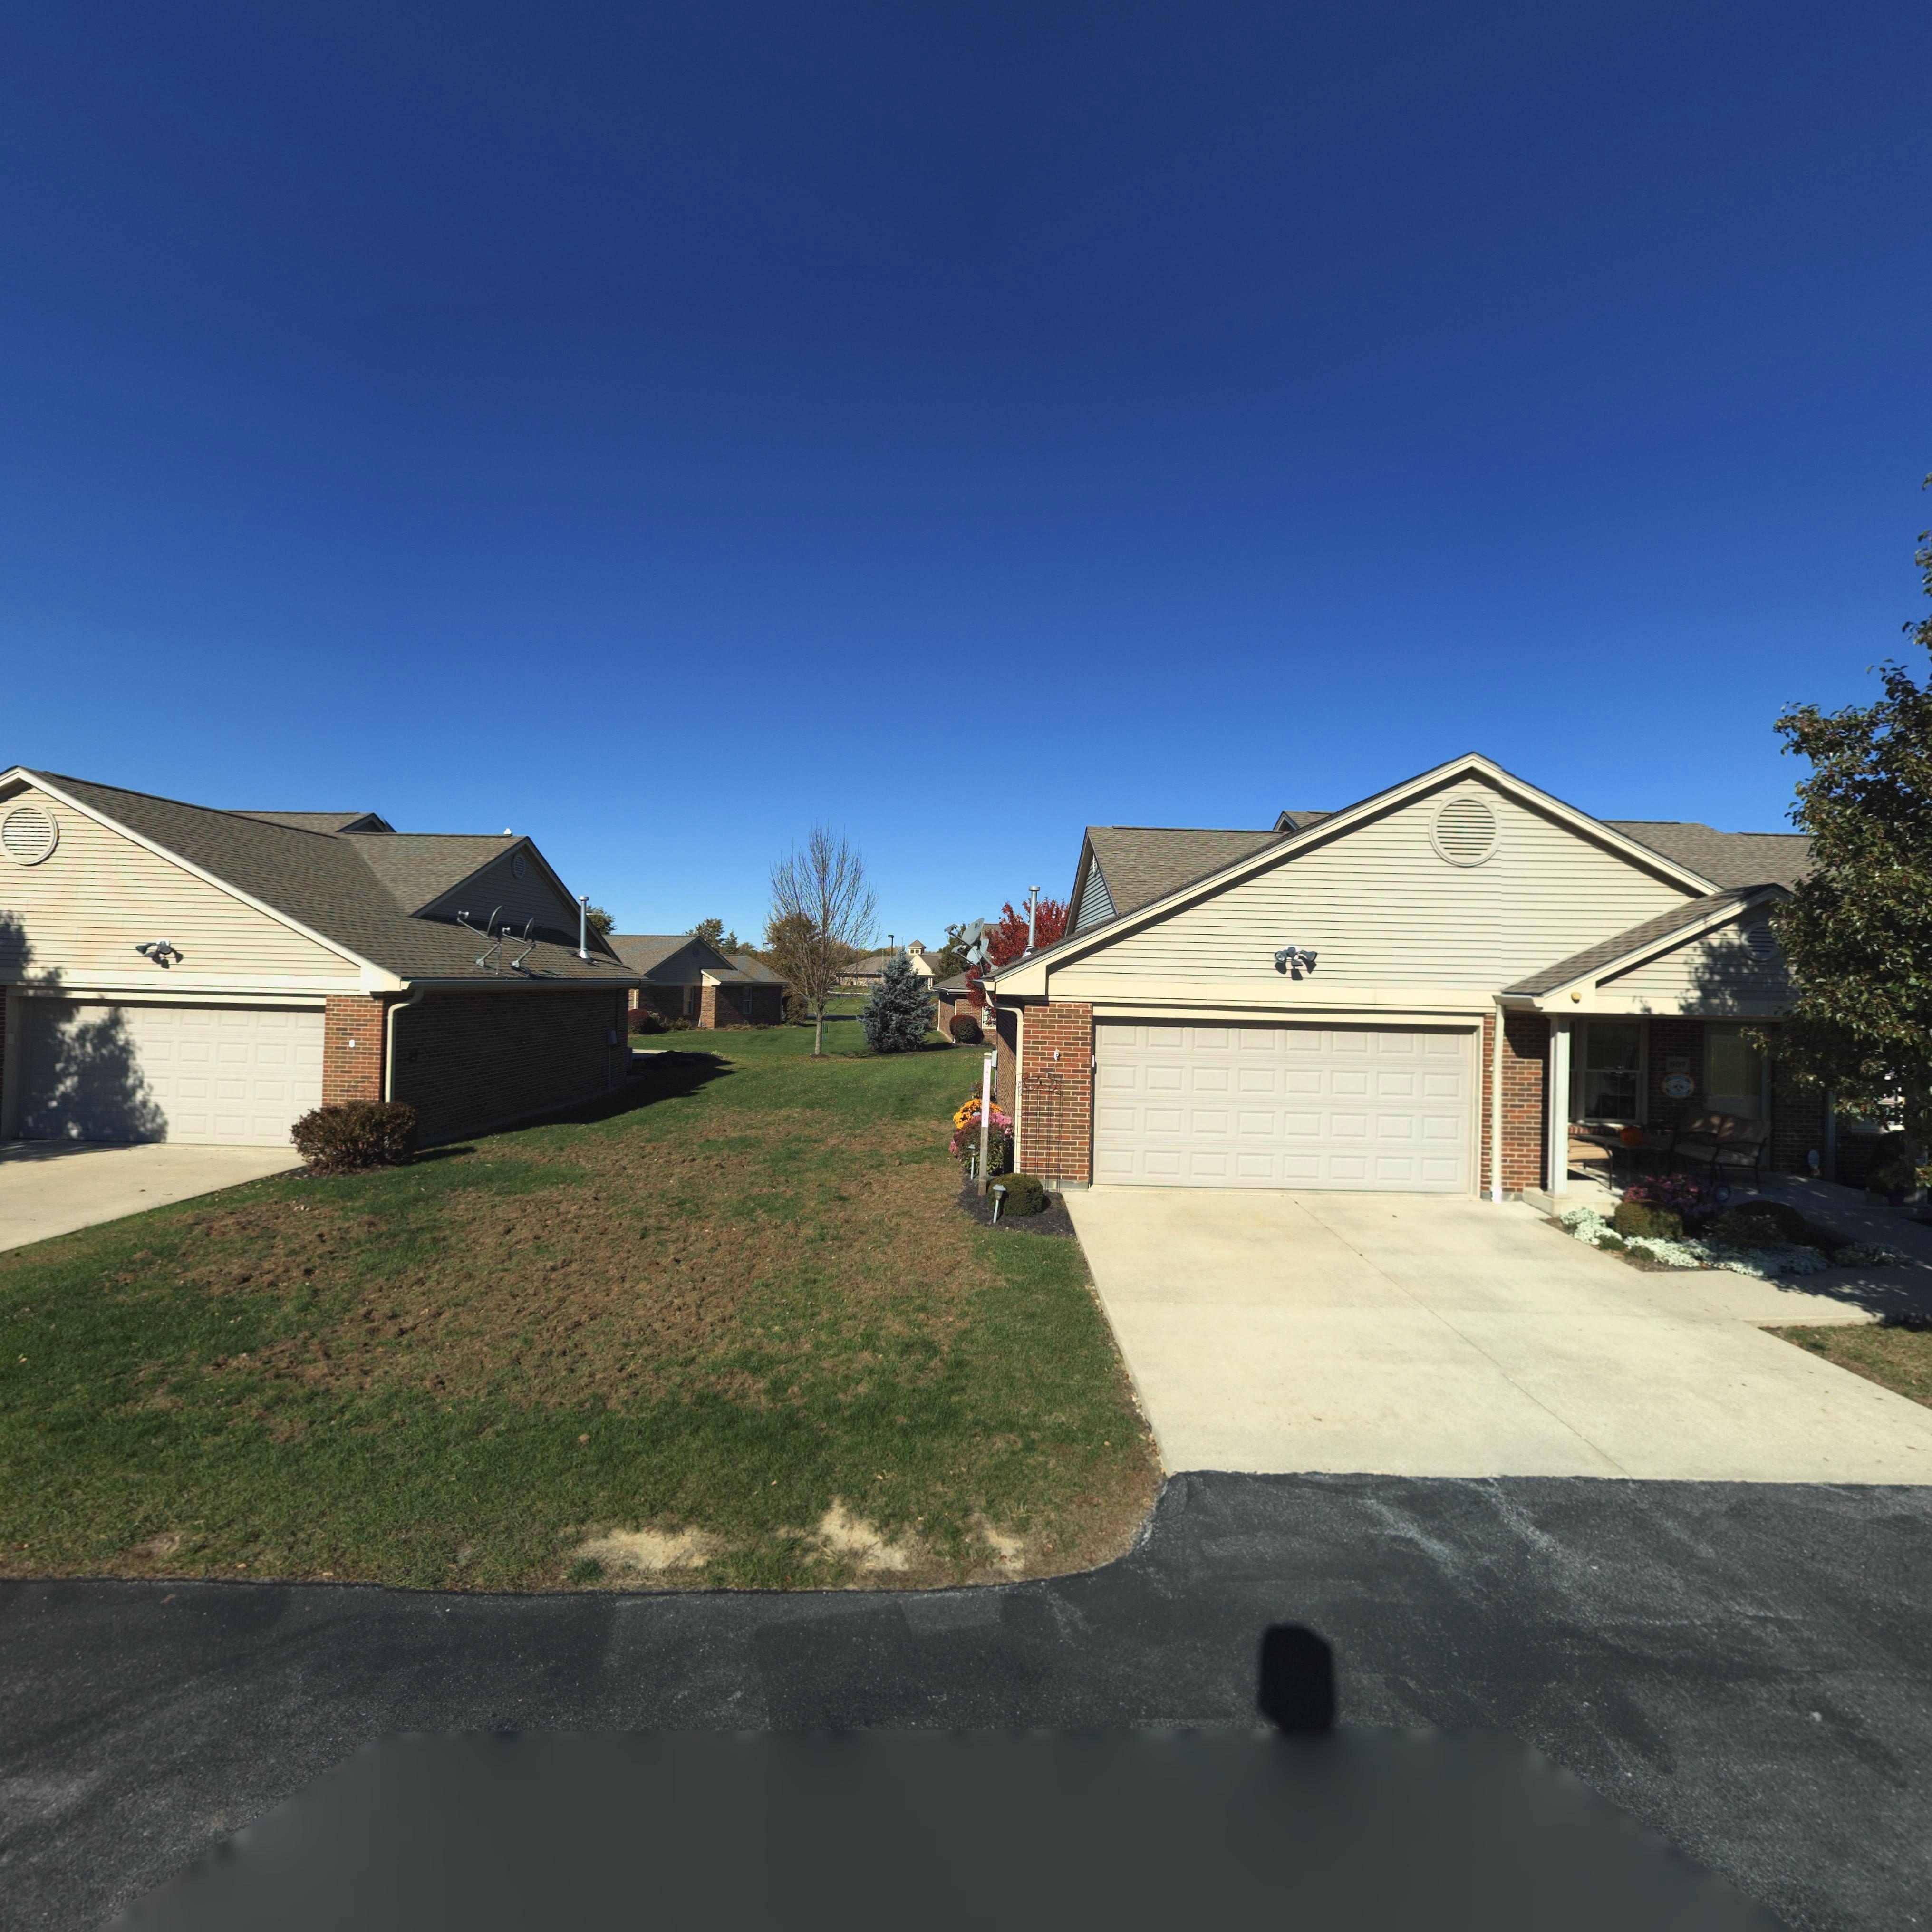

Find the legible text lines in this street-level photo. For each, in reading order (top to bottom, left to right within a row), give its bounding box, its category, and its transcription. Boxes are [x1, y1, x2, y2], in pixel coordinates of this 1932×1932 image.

[1668, 1061, 1686, 1068] StreetNumber: 607